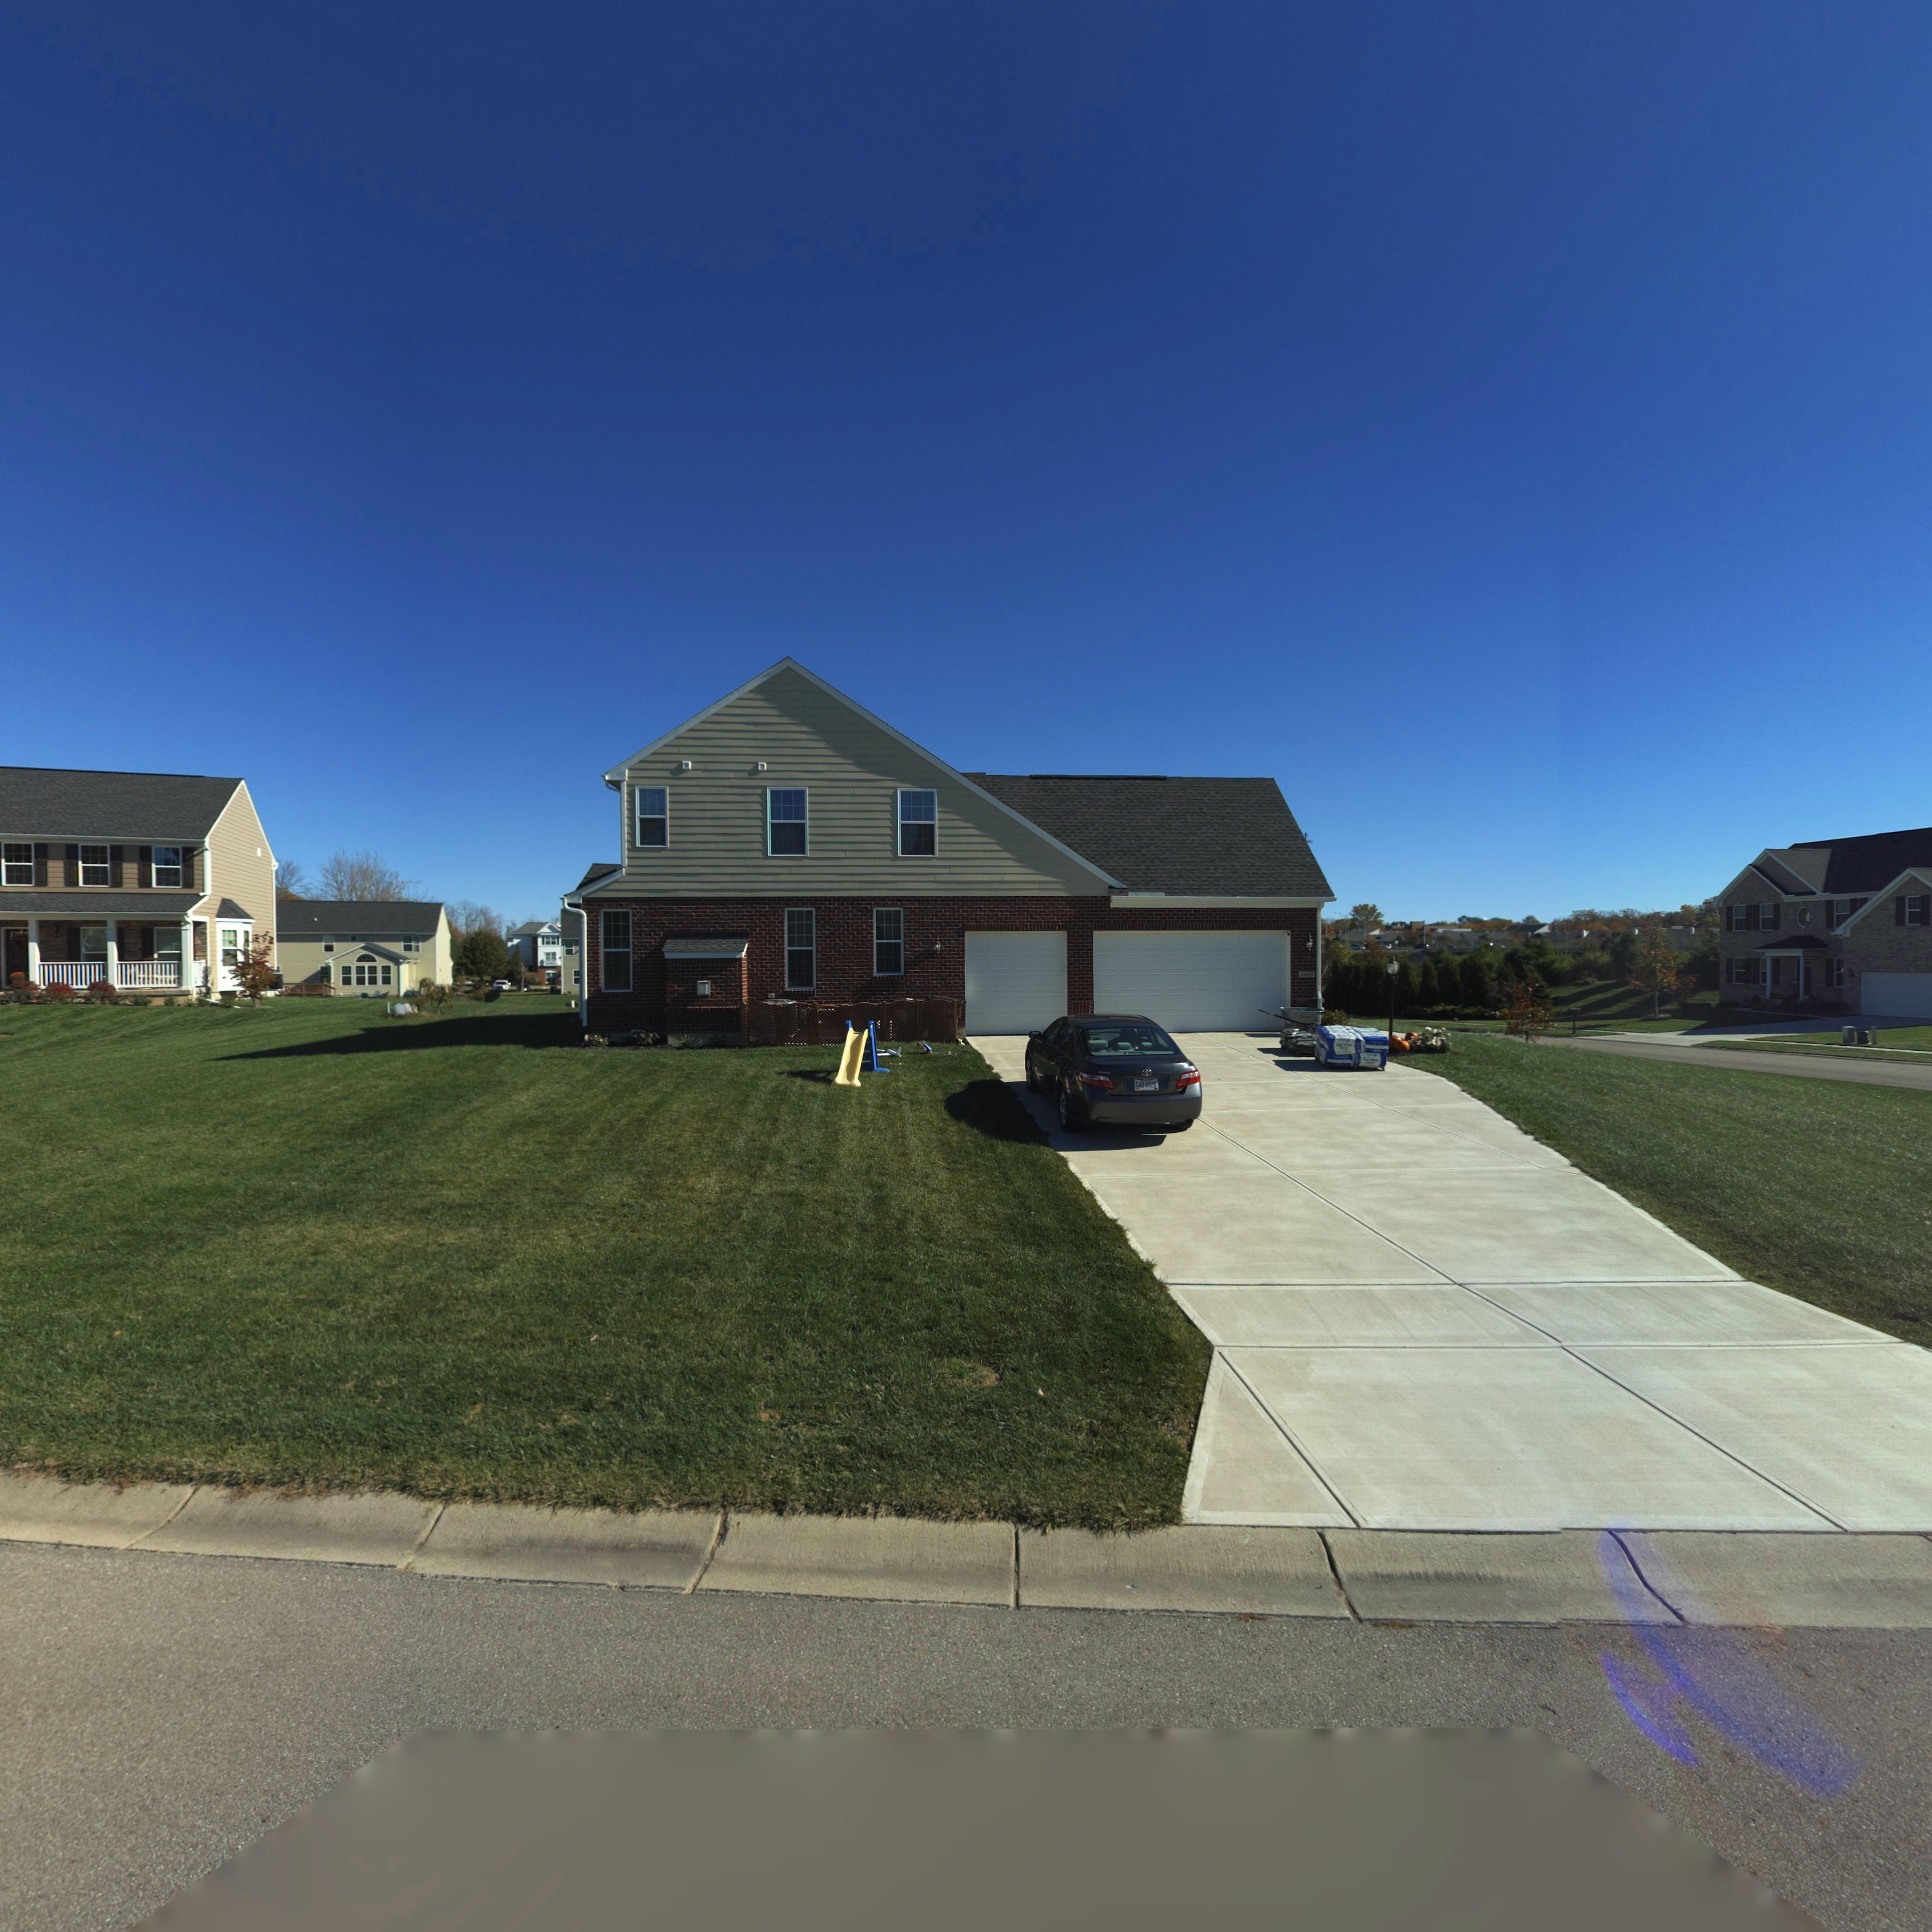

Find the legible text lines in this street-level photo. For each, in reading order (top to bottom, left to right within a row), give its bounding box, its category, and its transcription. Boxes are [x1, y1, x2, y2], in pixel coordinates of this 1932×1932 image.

[1300, 972, 1314, 977] StreetNumber: **00